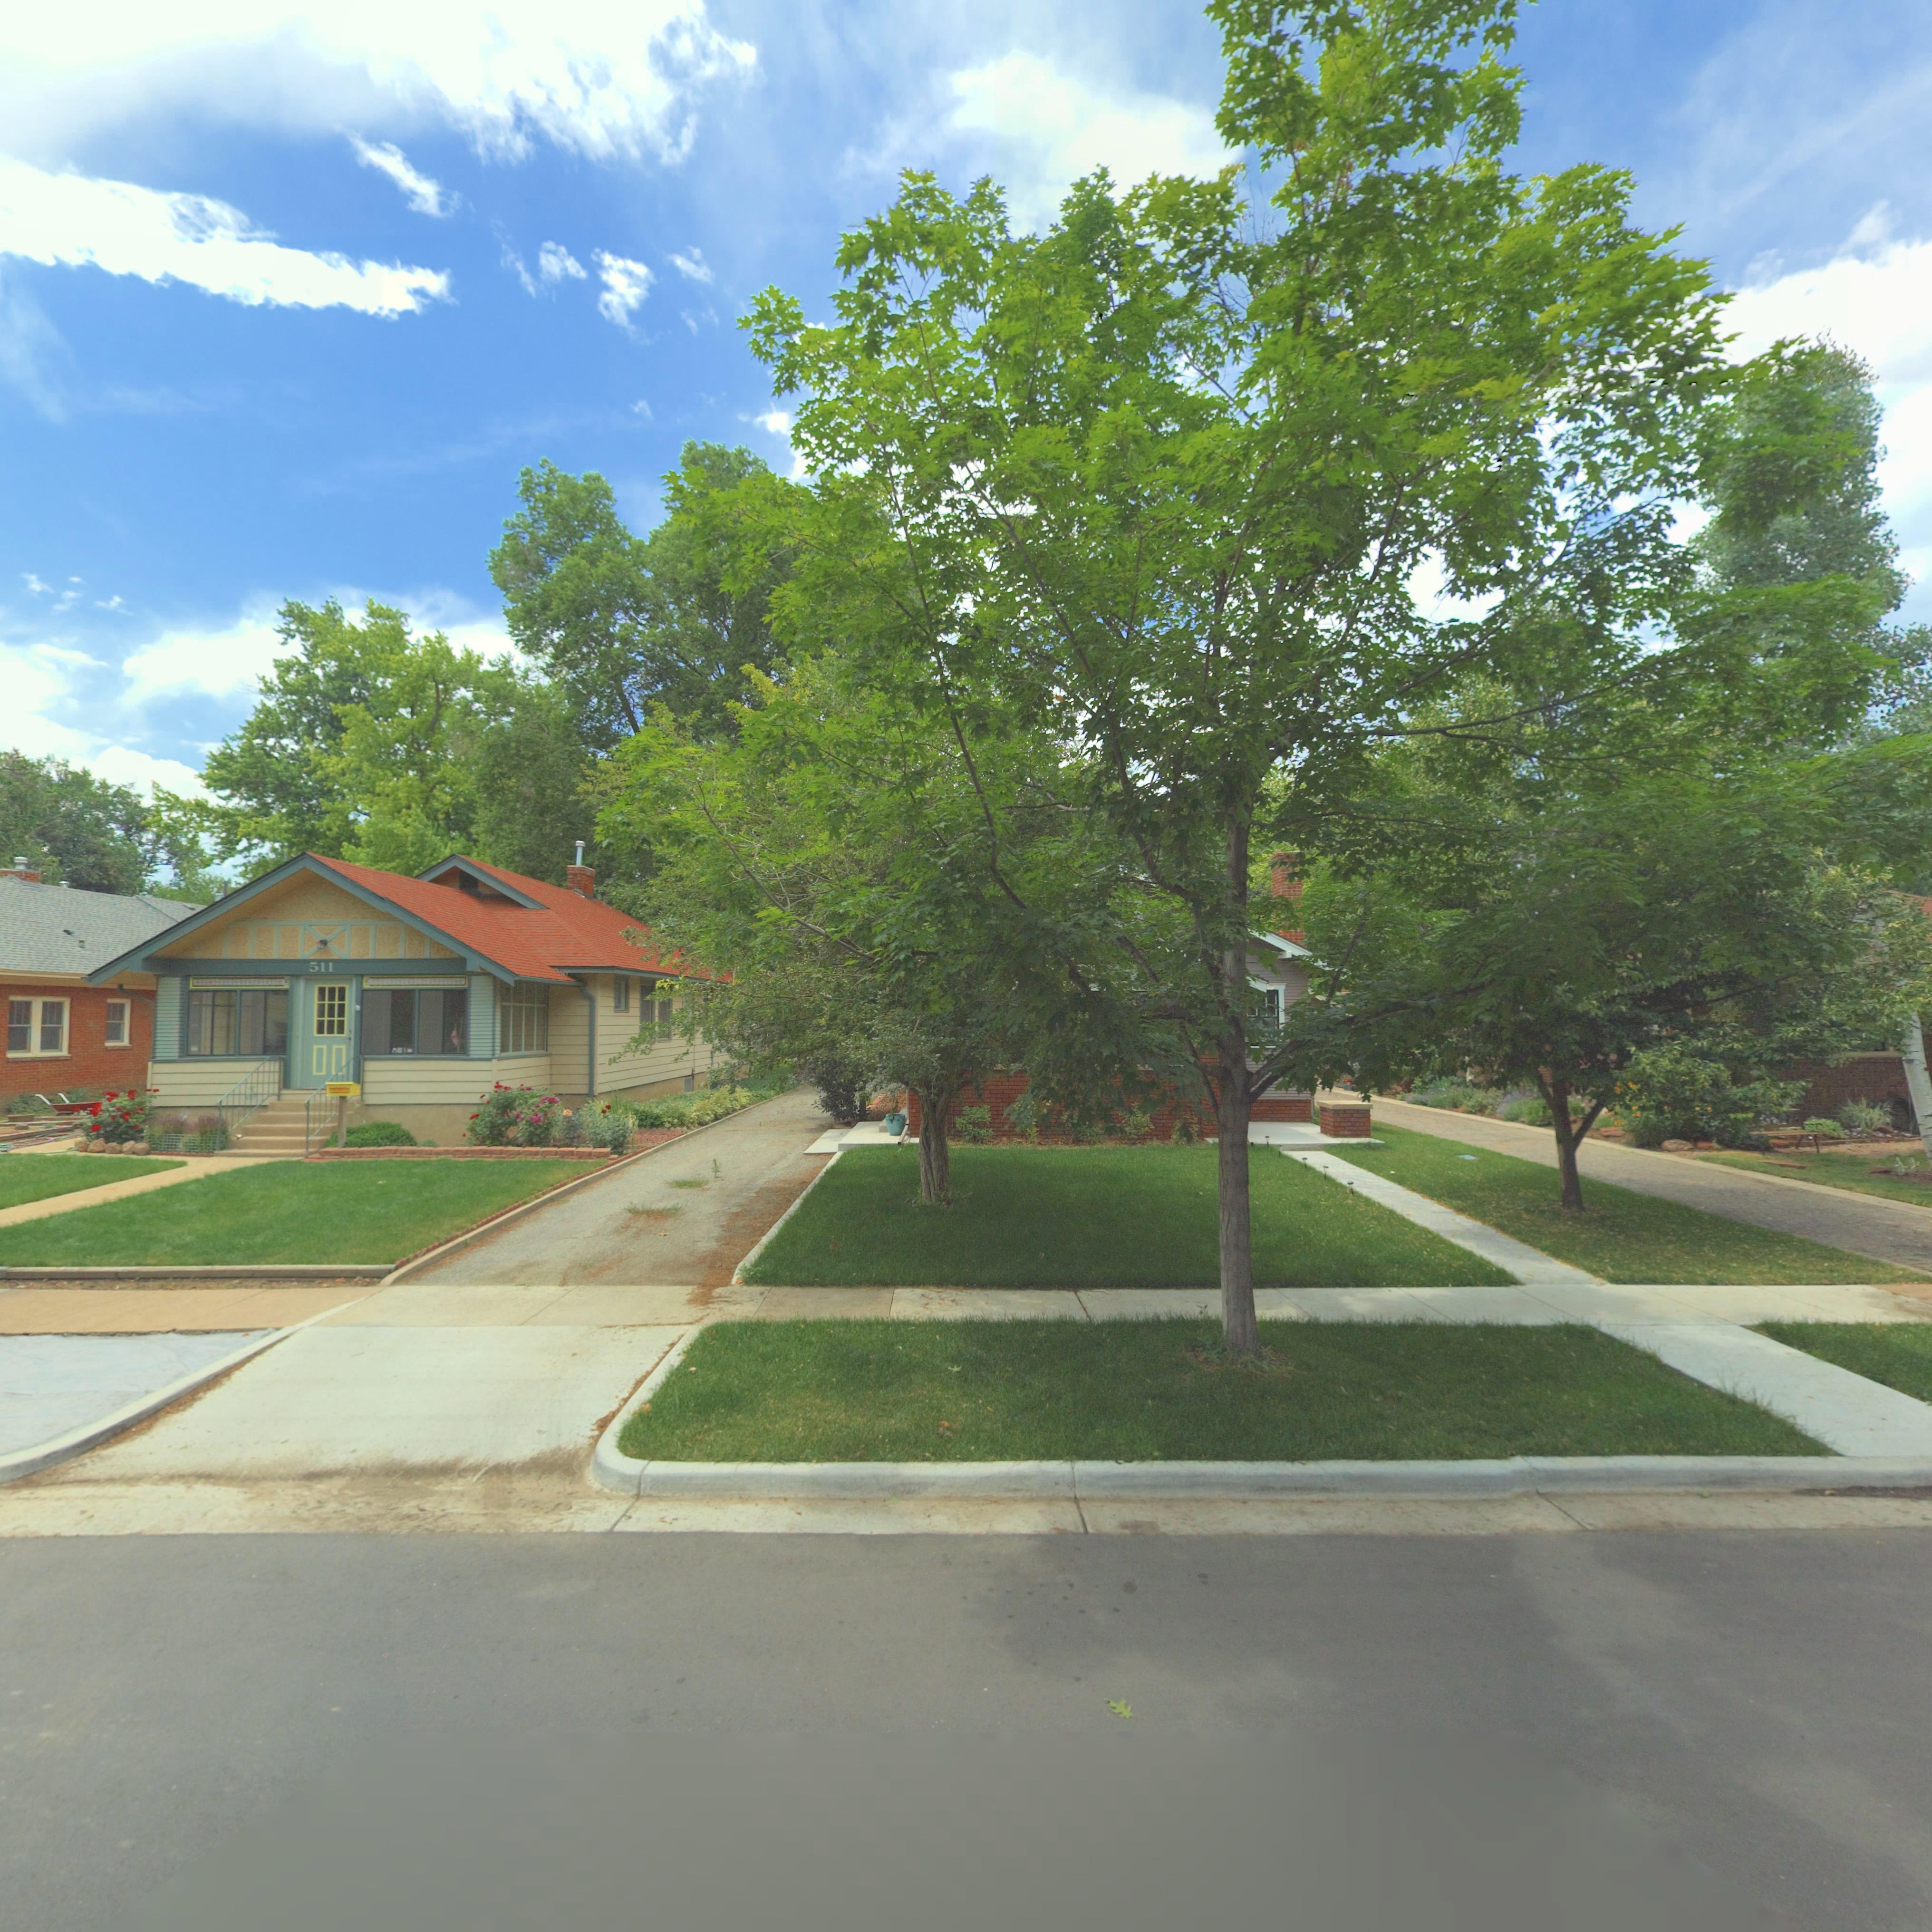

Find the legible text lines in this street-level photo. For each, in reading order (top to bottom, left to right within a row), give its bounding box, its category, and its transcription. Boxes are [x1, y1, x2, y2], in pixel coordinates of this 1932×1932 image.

[308, 961, 334, 973] StreetNumber: 511